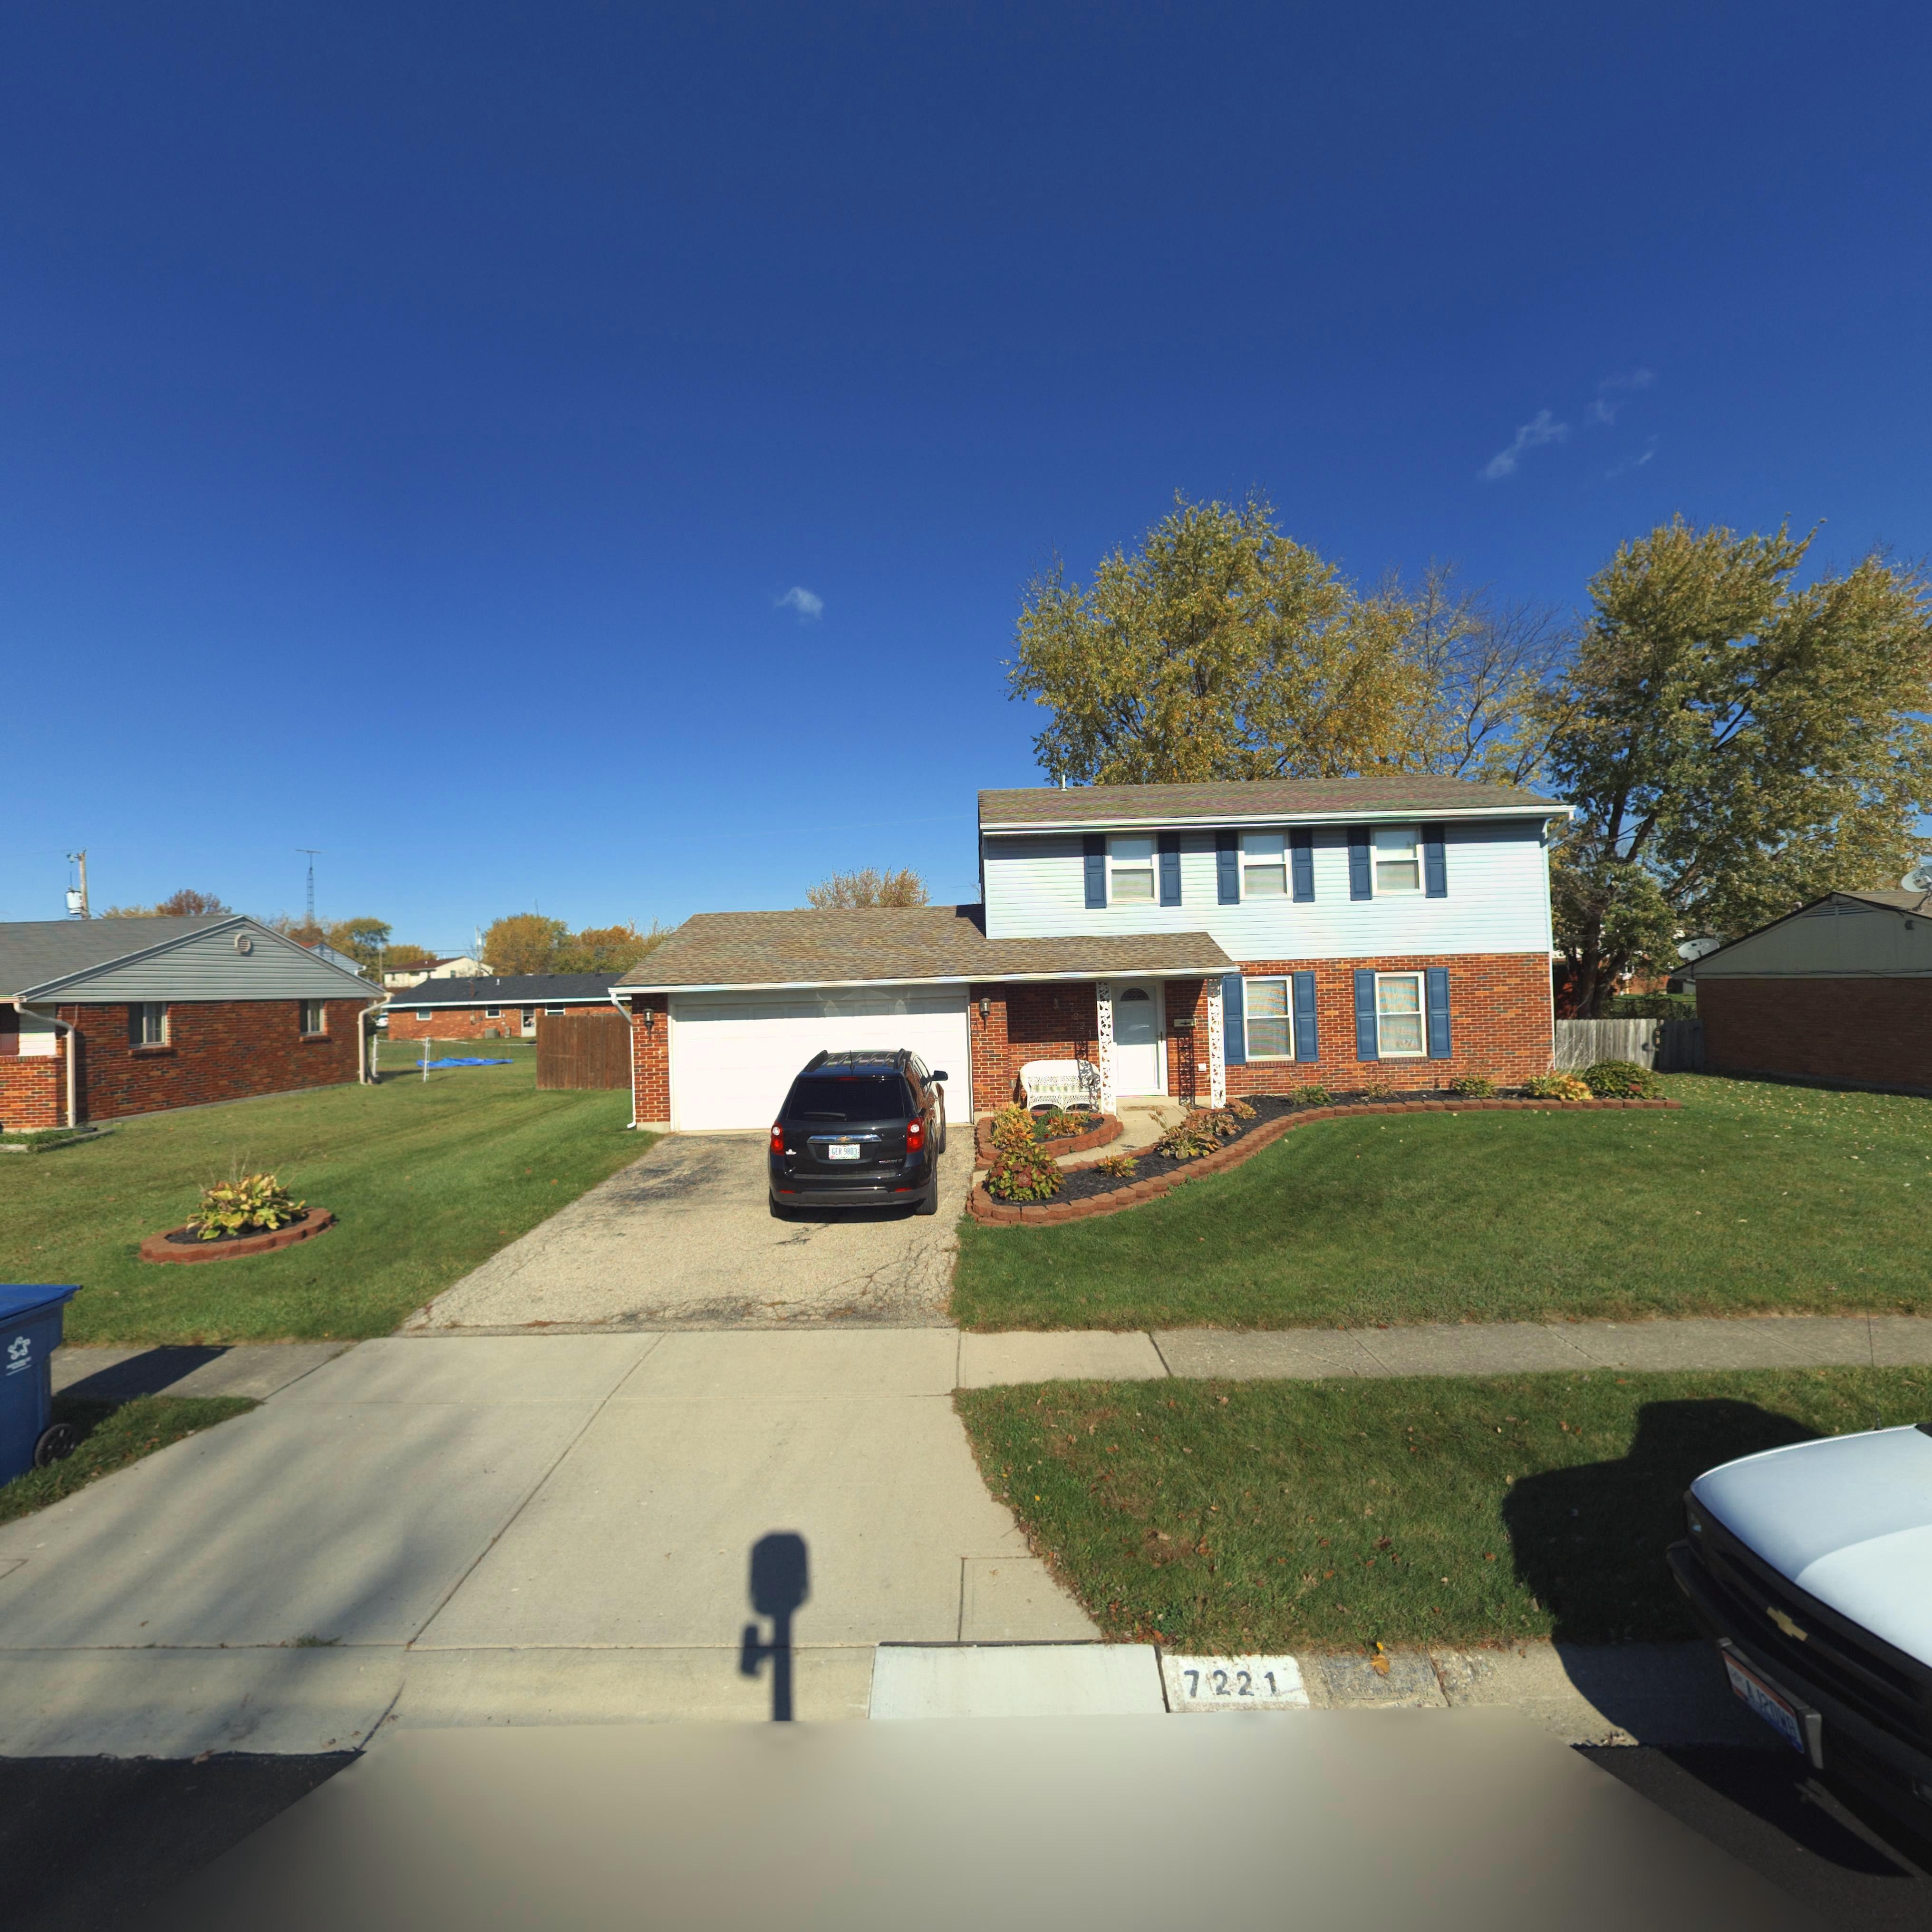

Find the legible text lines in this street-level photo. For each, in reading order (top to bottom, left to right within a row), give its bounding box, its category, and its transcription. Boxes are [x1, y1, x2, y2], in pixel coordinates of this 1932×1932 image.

[1182, 1668, 1279, 1699] StreetNumber: 7221